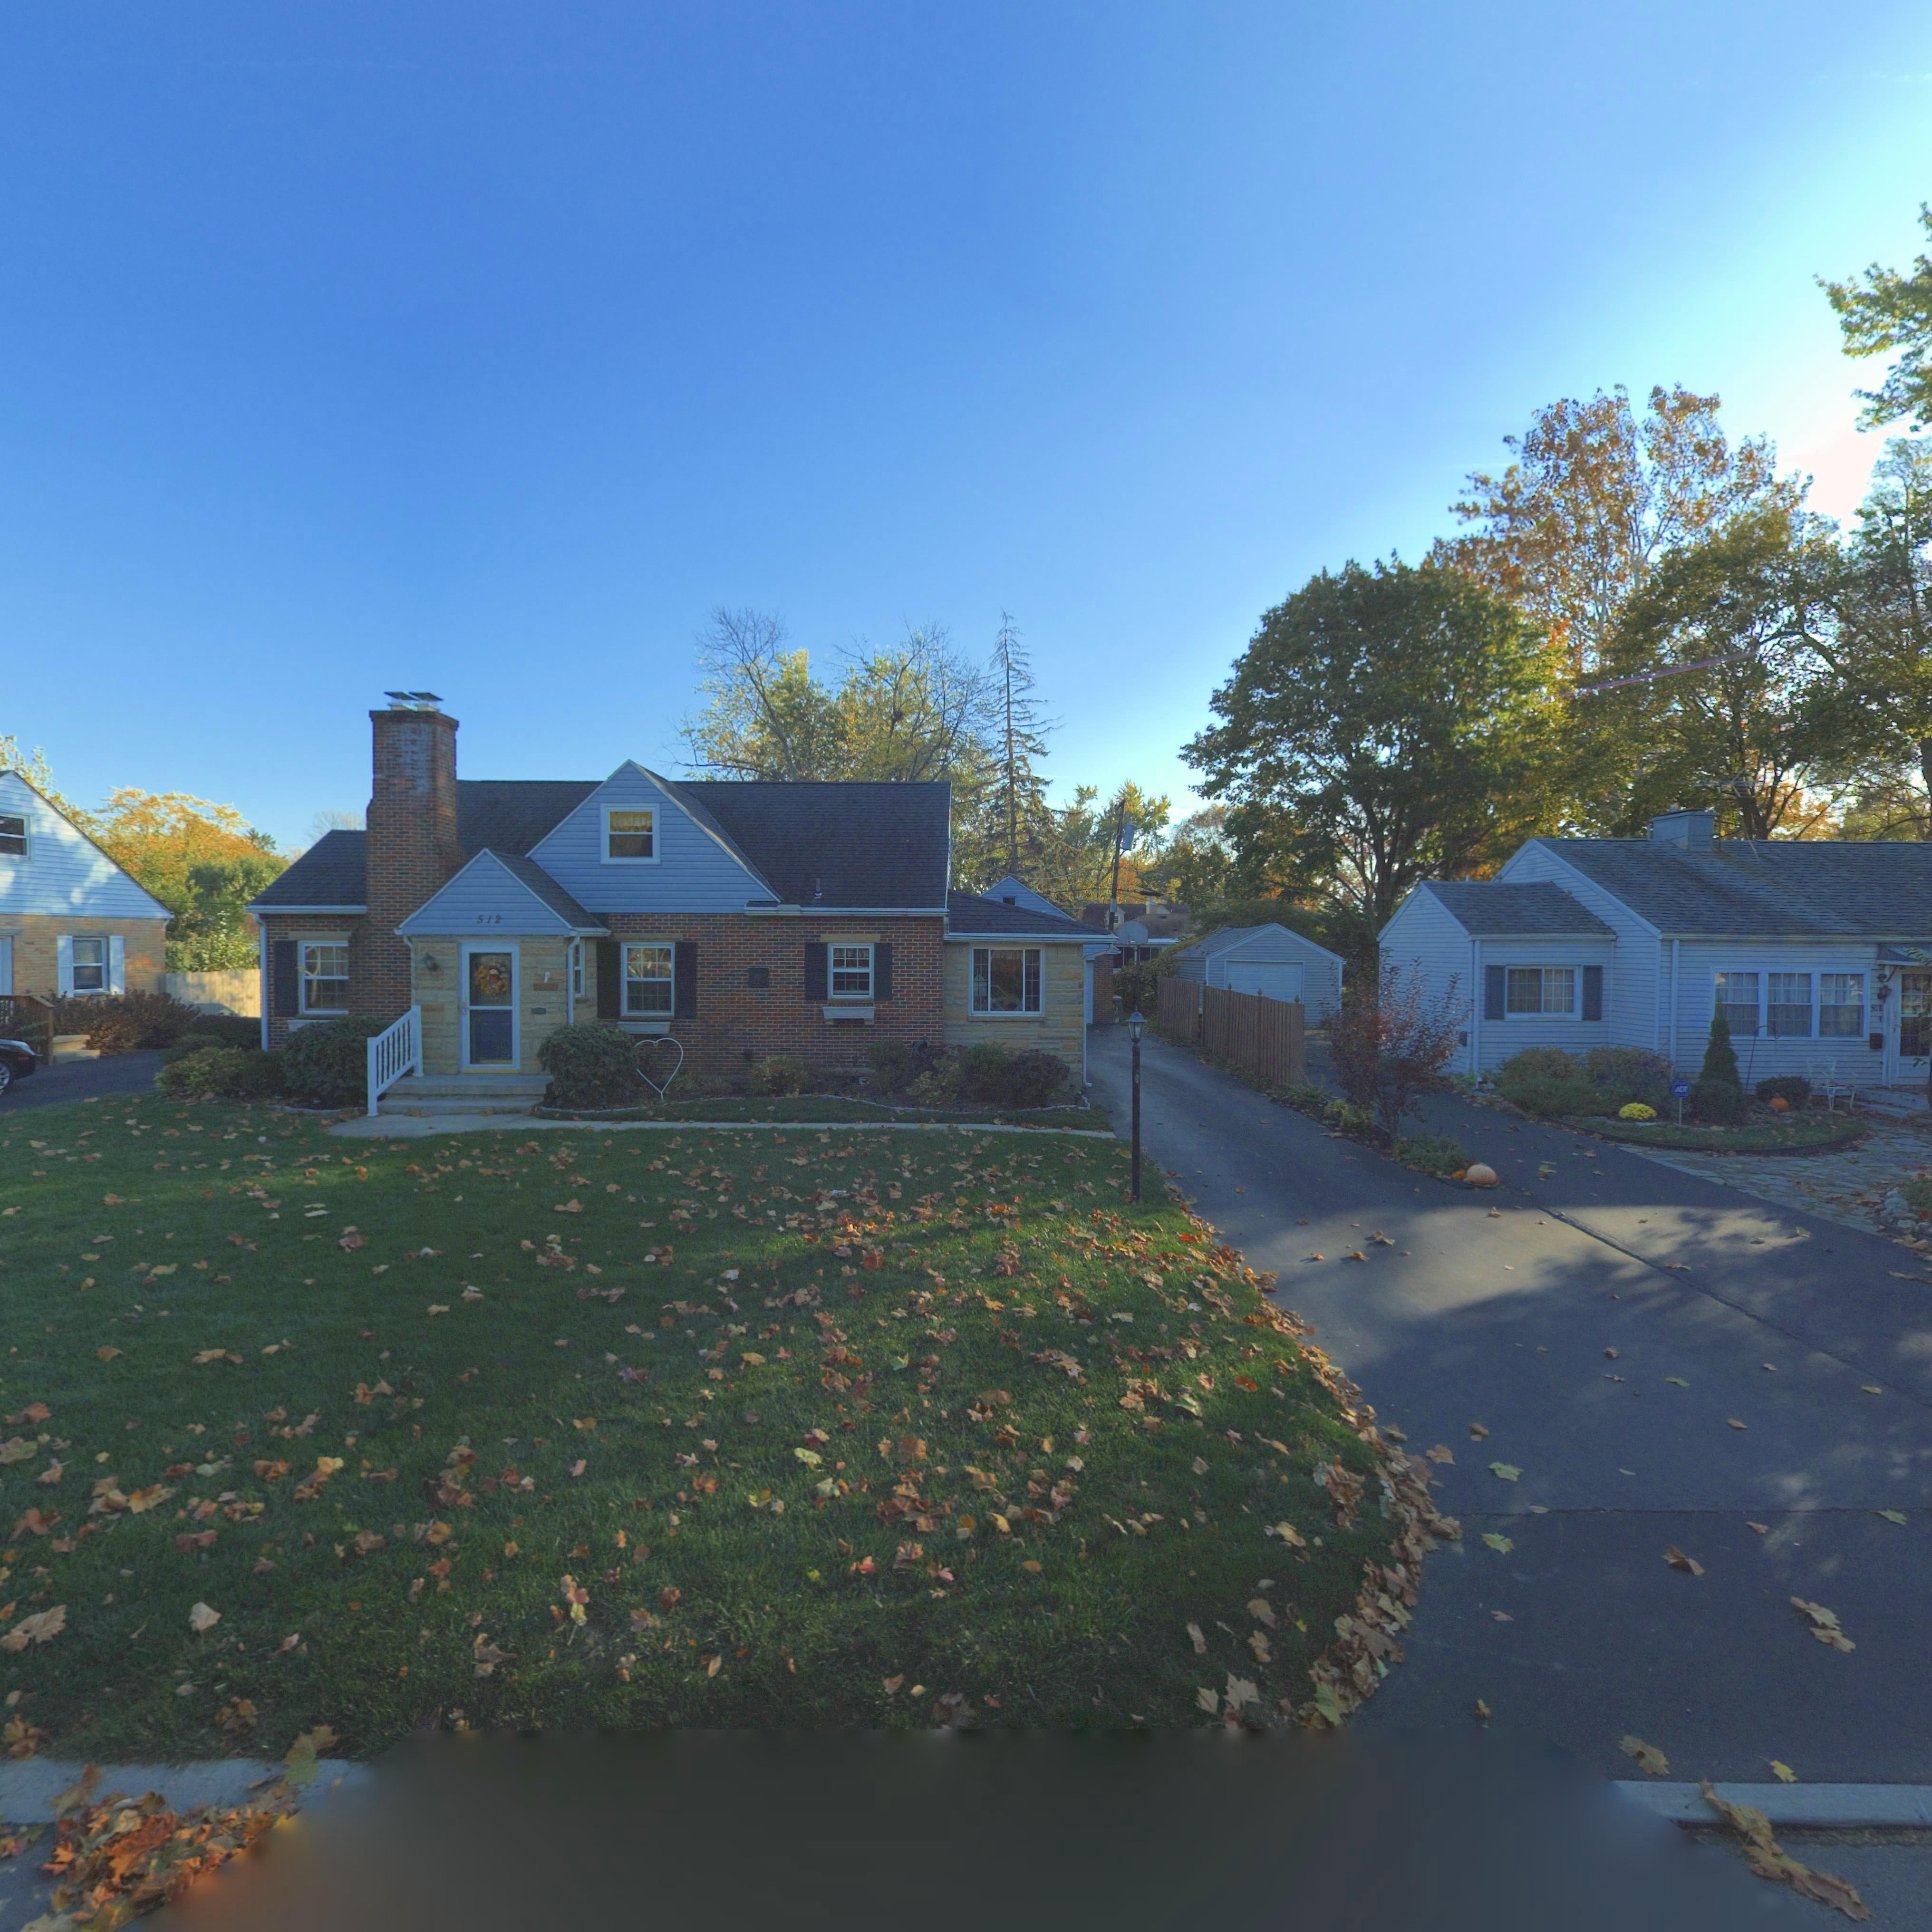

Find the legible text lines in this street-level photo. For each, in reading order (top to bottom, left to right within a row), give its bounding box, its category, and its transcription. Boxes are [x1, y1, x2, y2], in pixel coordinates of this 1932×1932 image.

[476, 913, 502, 925] StreetNumber: 512
[1870, 1004, 1884, 1013] StreetNumber: 50*